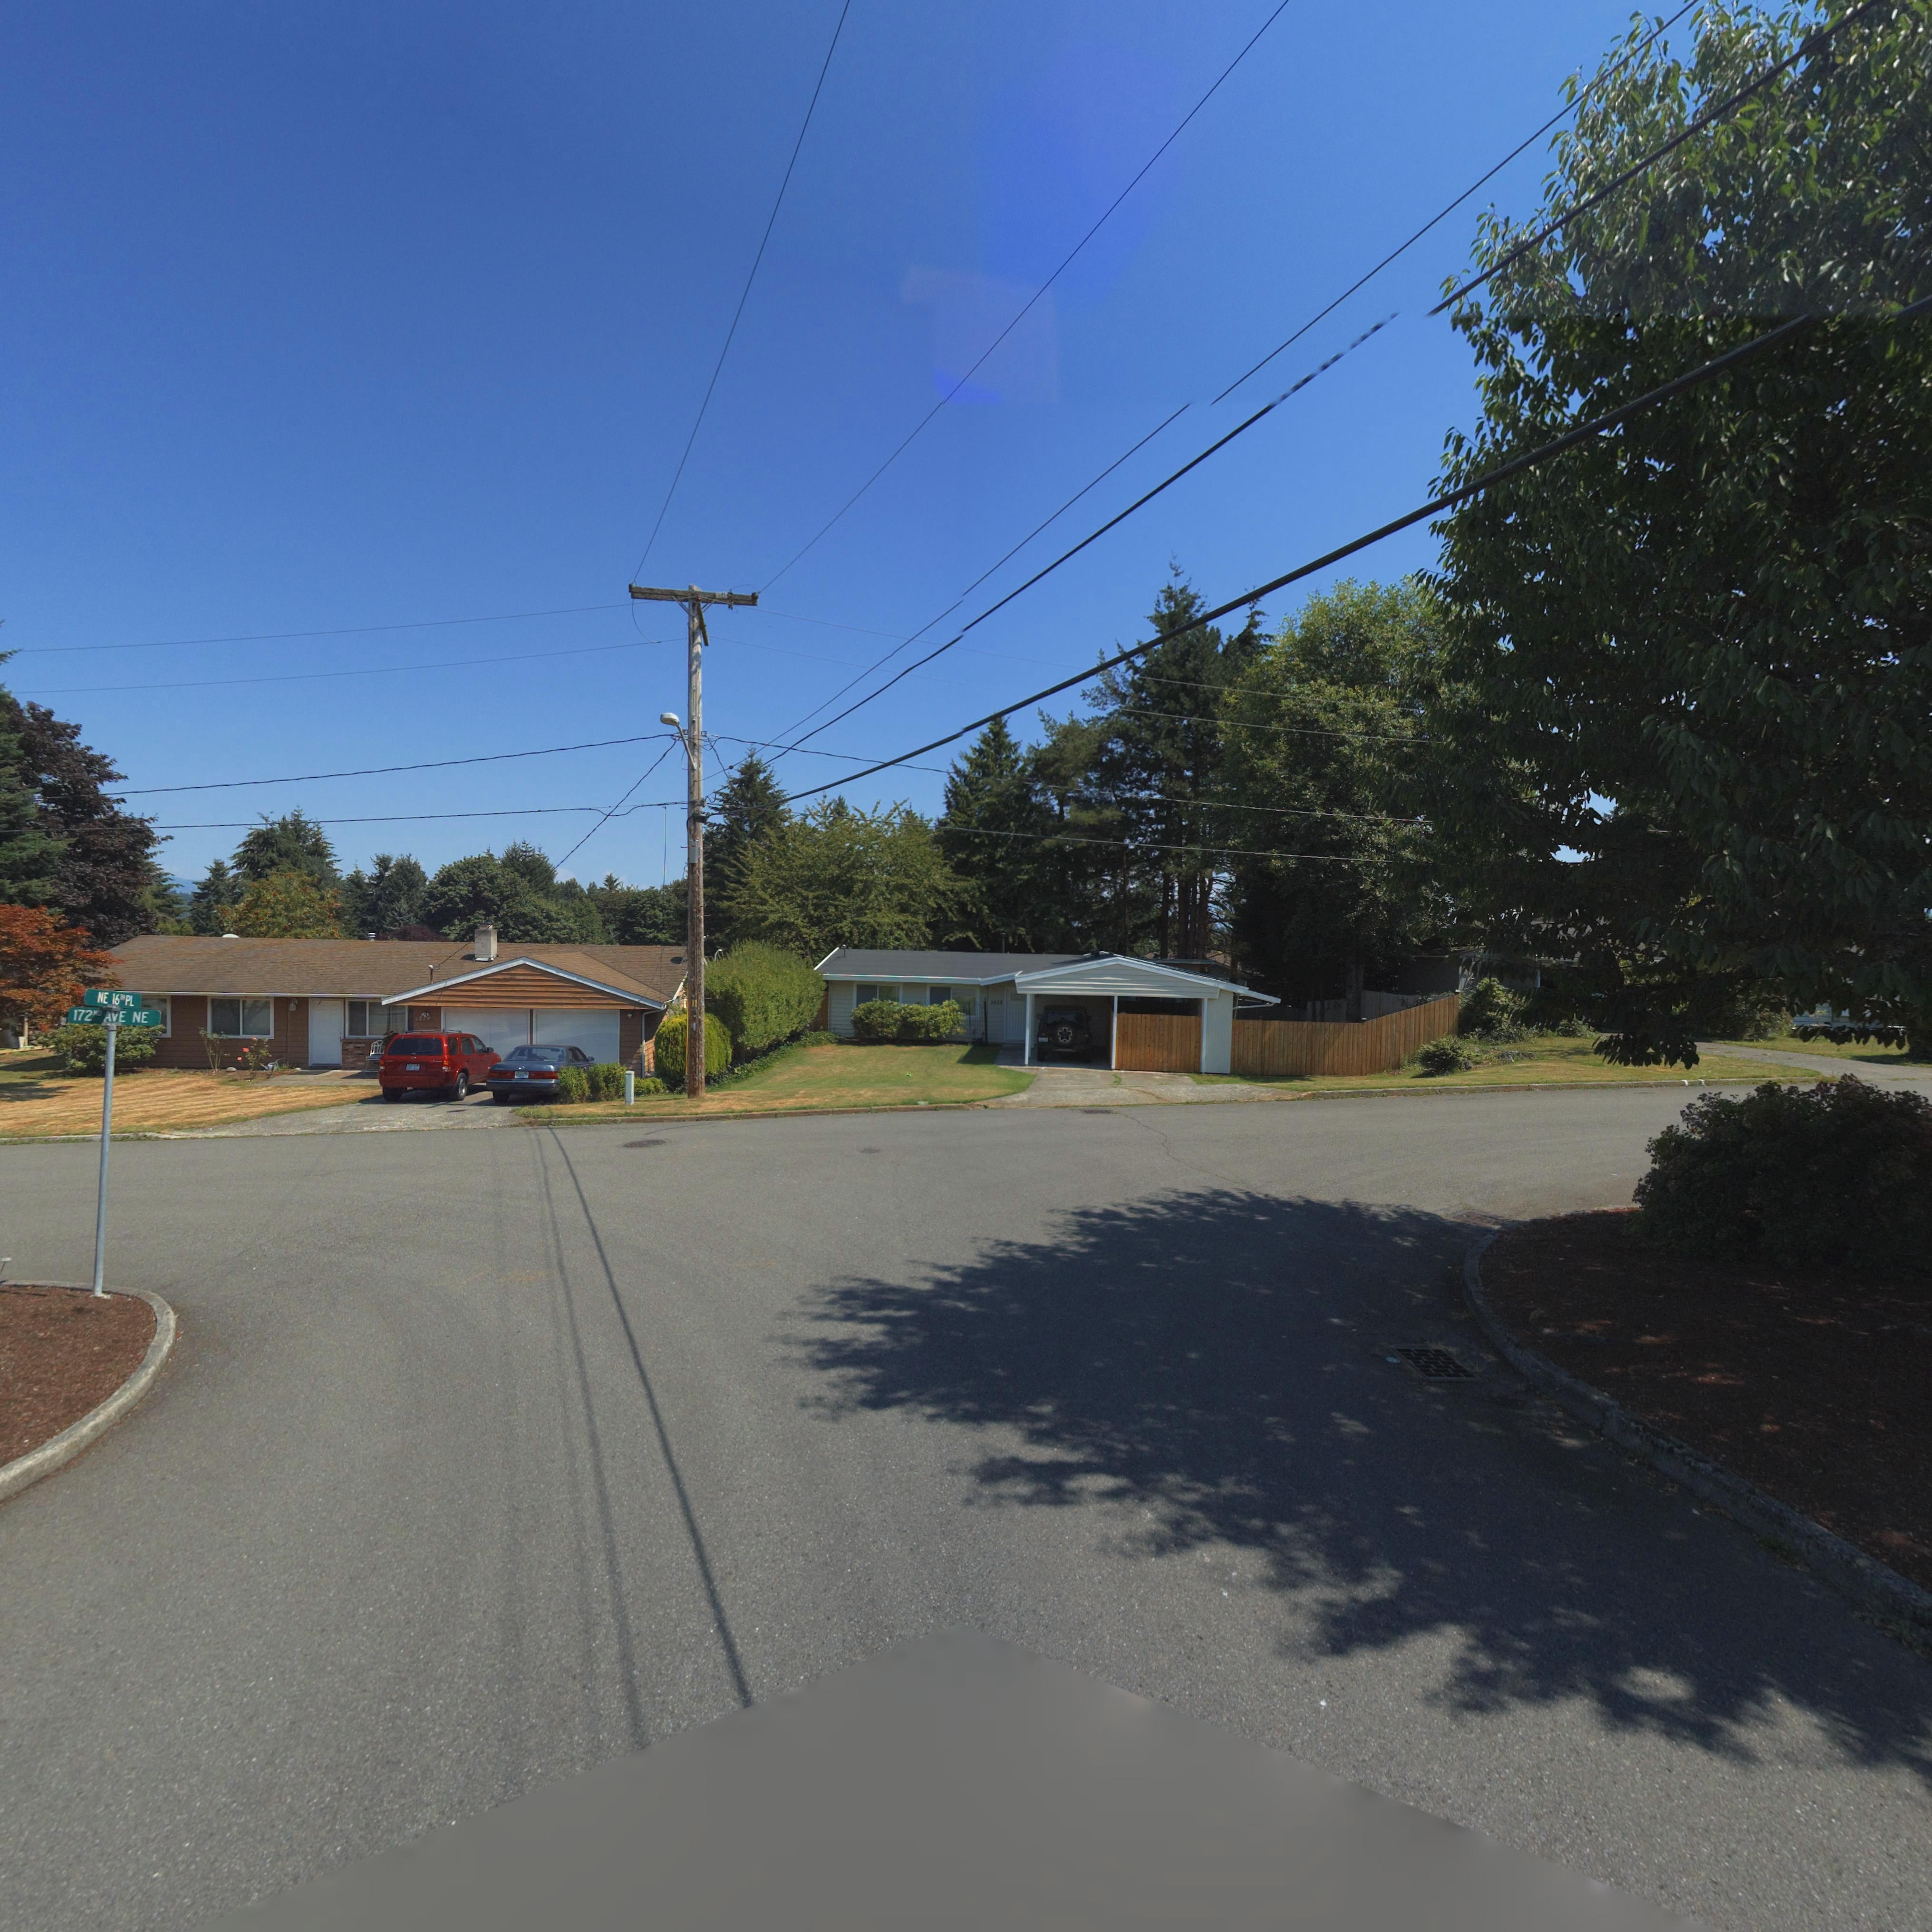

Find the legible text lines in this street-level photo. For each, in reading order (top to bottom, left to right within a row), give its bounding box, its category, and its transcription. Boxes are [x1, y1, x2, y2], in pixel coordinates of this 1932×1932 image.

[96, 990, 134, 1006] StreetName: NE 16*H PL
[72, 1008, 149, 1024] StreetName: 172ND AVE NE